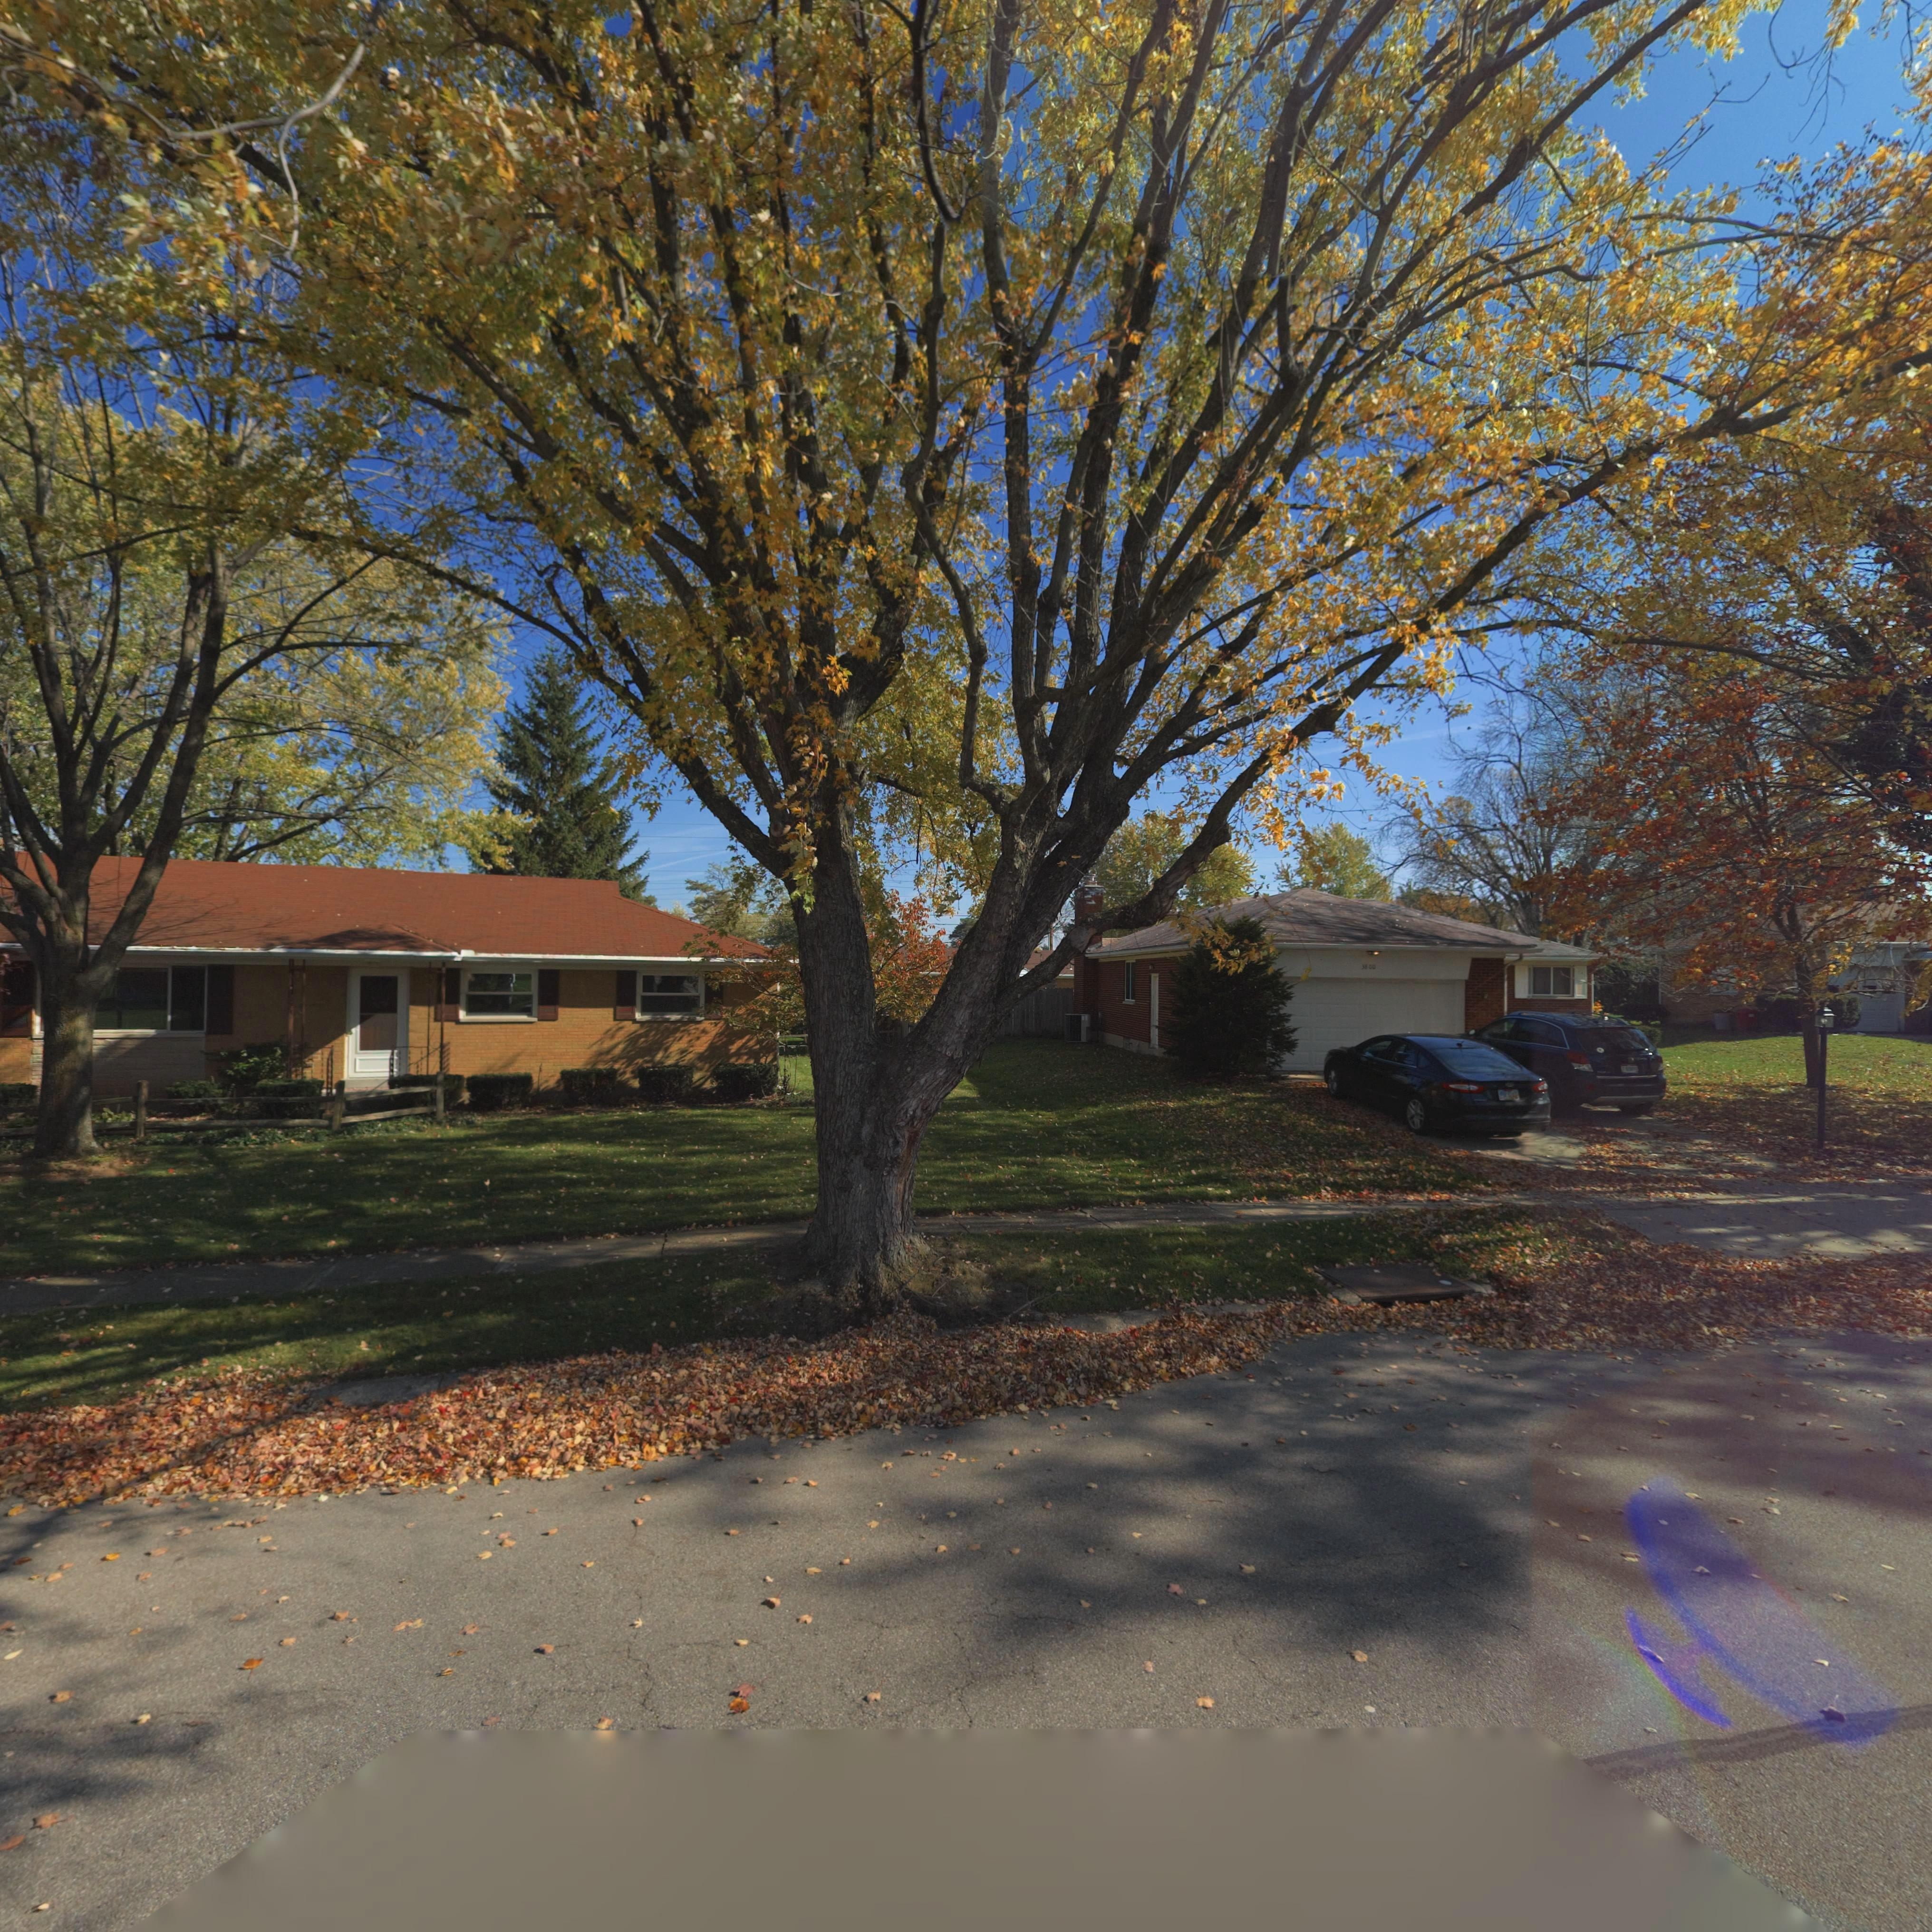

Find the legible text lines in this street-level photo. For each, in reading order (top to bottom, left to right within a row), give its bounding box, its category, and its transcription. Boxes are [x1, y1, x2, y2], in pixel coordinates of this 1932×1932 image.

[1360, 962, 1378, 971] StreetNumber: 3800